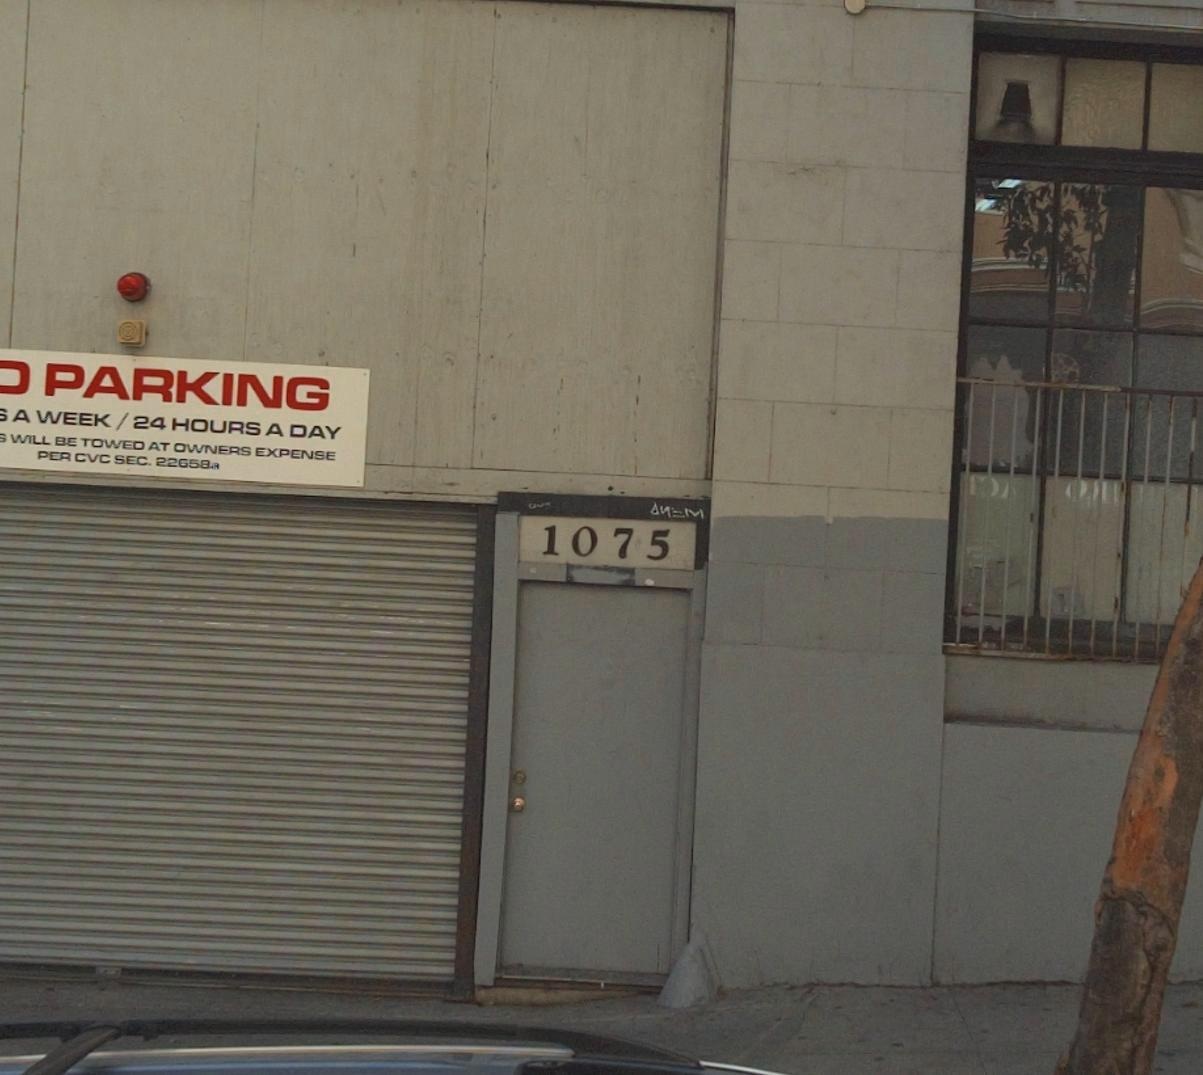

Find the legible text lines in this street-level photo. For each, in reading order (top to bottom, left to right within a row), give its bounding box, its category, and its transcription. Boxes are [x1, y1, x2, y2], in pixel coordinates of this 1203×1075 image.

[43, 361, 332, 414] None: PARKING
[9, 407, 344, 441] None: A WEEK / 24 HOURS A DAY
[36, 449, 222, 472] None: PER CVC SEC. 22658A
[8, 432, 338, 463] None: WILL BE TOWED AT OWNERS EXPENSE
[647, 500, 707, 521] None: ***M
[540, 523, 672, 564] StreetNumber: 1075